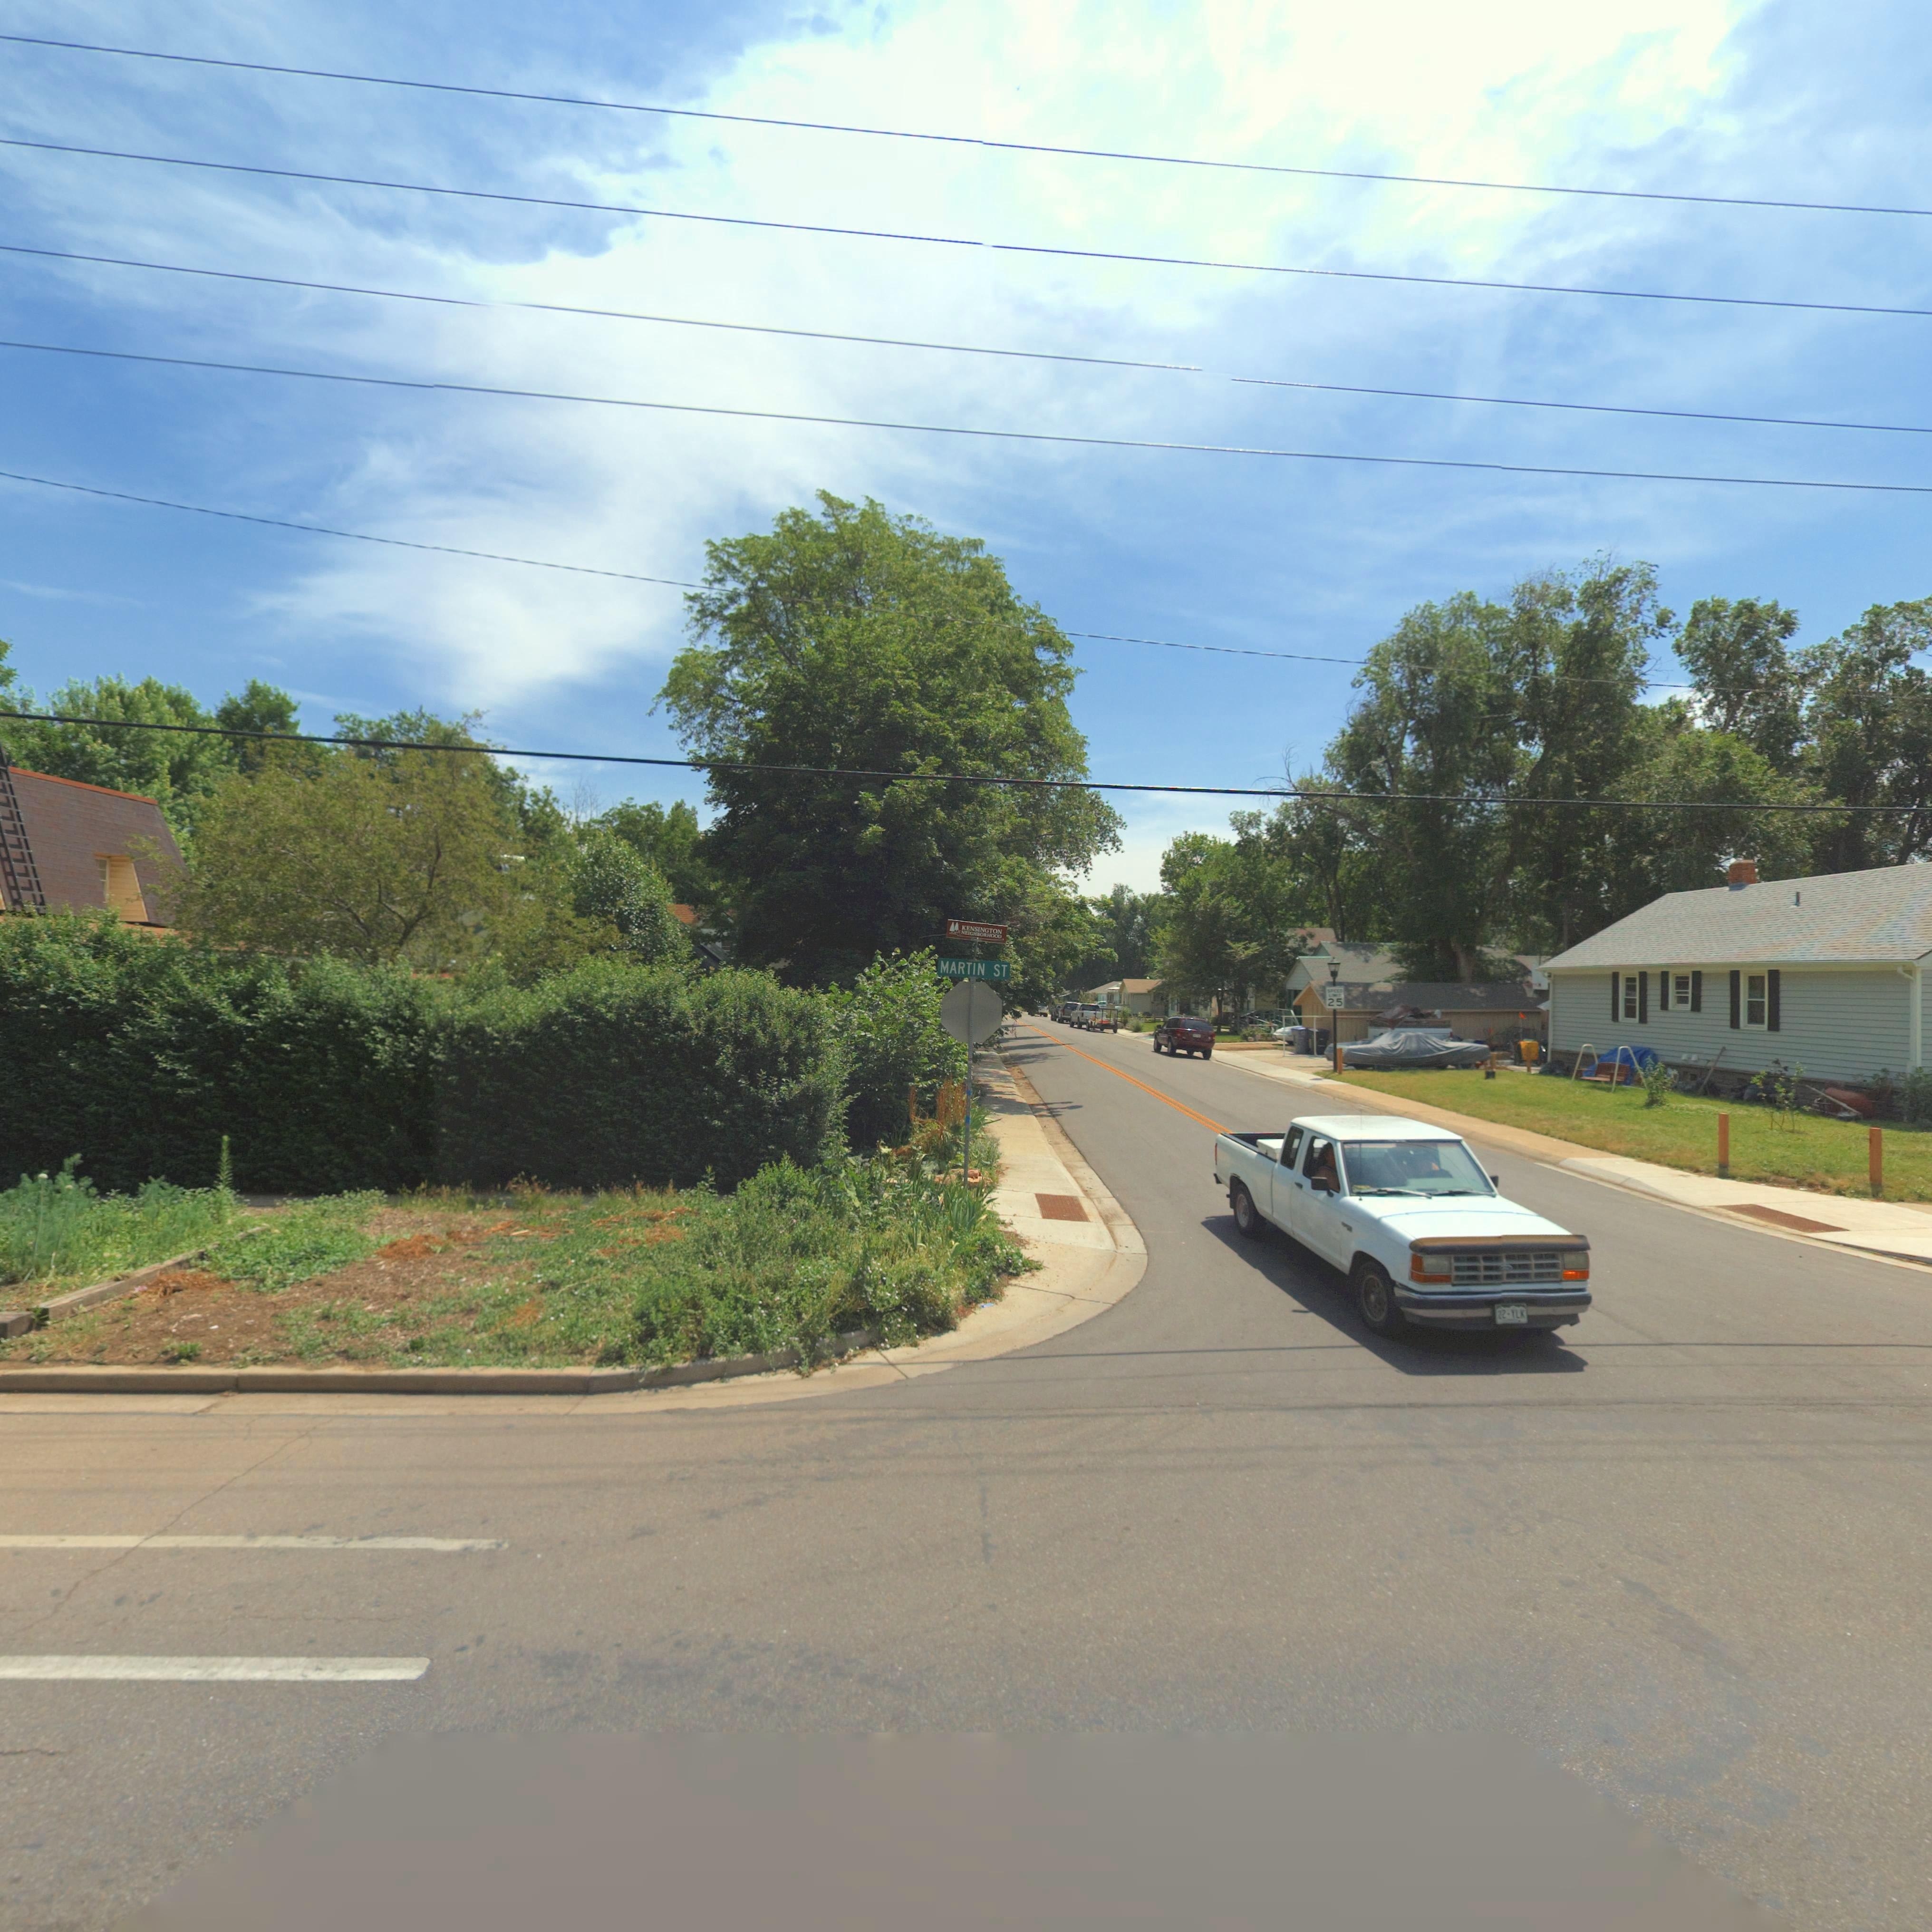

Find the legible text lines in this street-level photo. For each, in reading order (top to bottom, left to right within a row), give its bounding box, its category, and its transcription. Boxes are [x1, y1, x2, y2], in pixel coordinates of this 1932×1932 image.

[939, 960, 1007, 977] StreetName: MARTIN ST